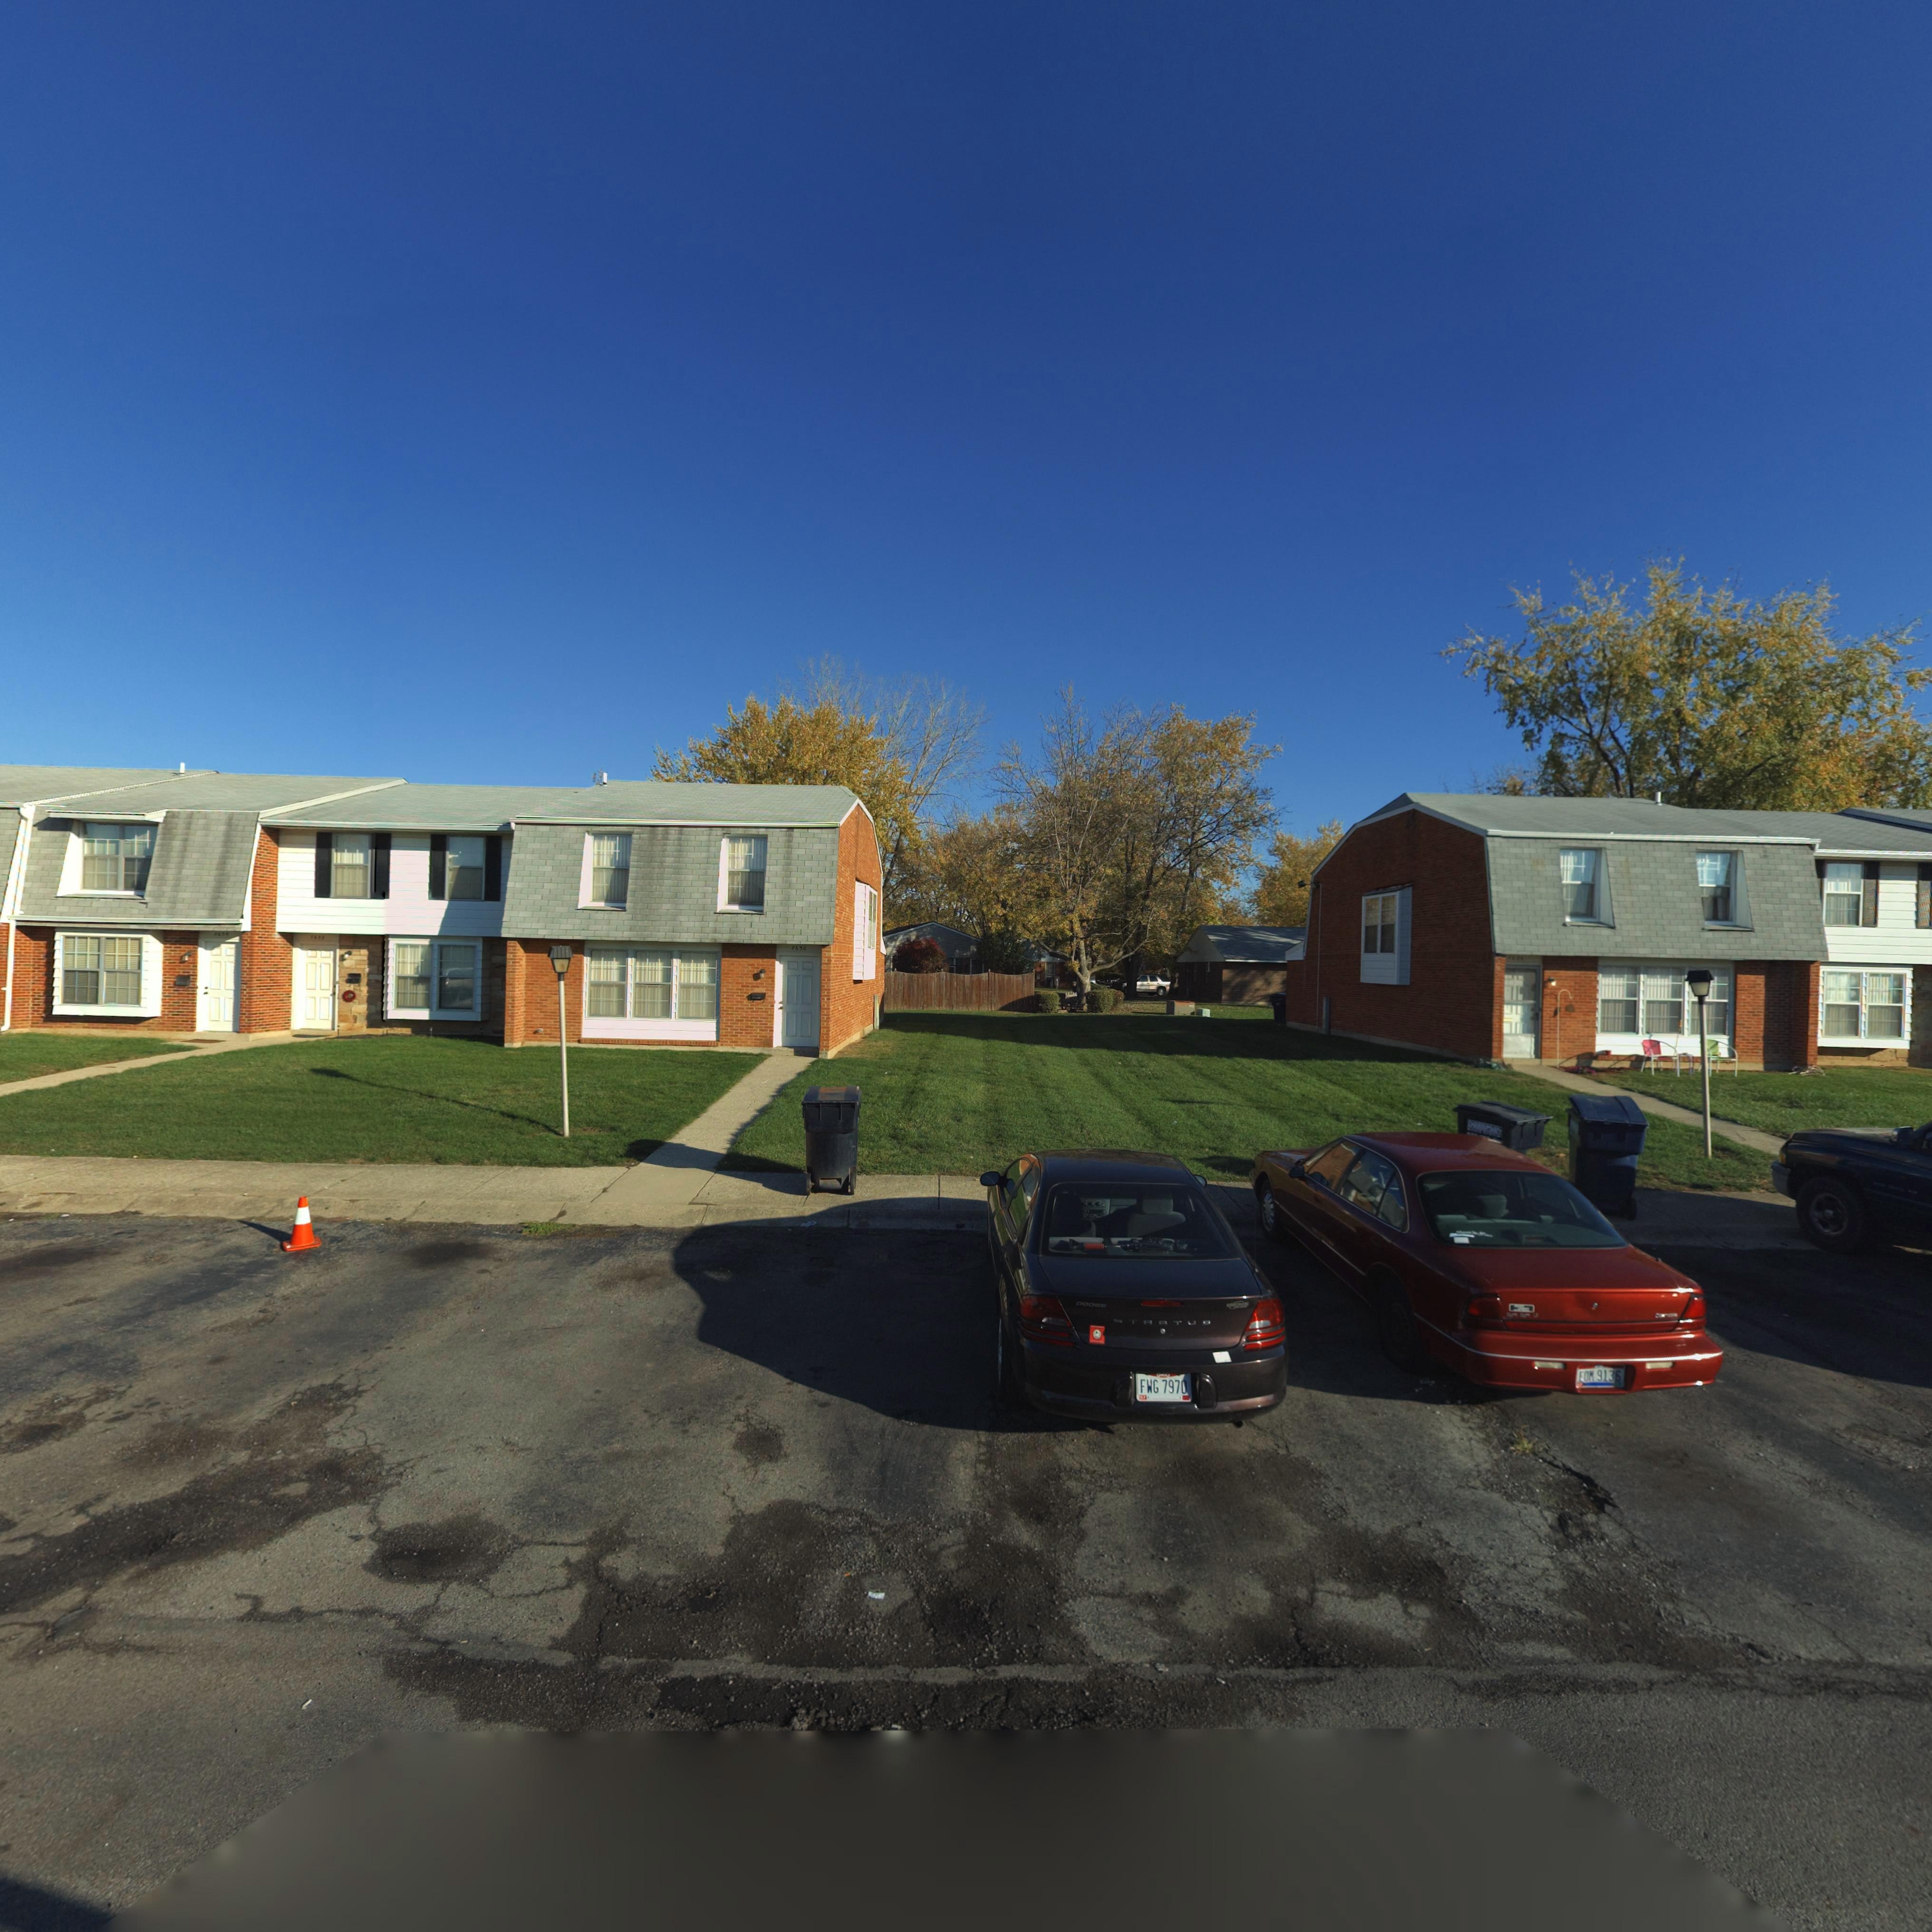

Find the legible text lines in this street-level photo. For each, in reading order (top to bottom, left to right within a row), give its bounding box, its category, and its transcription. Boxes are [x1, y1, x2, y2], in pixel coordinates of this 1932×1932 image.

[213, 931, 229, 937] StreetNumber: 763*
[309, 935, 325, 940] StreetNumber: 7632
[791, 945, 807, 951] StreetNumber: 7630
[1507, 954, 1524, 961] StreetNumber: 762*